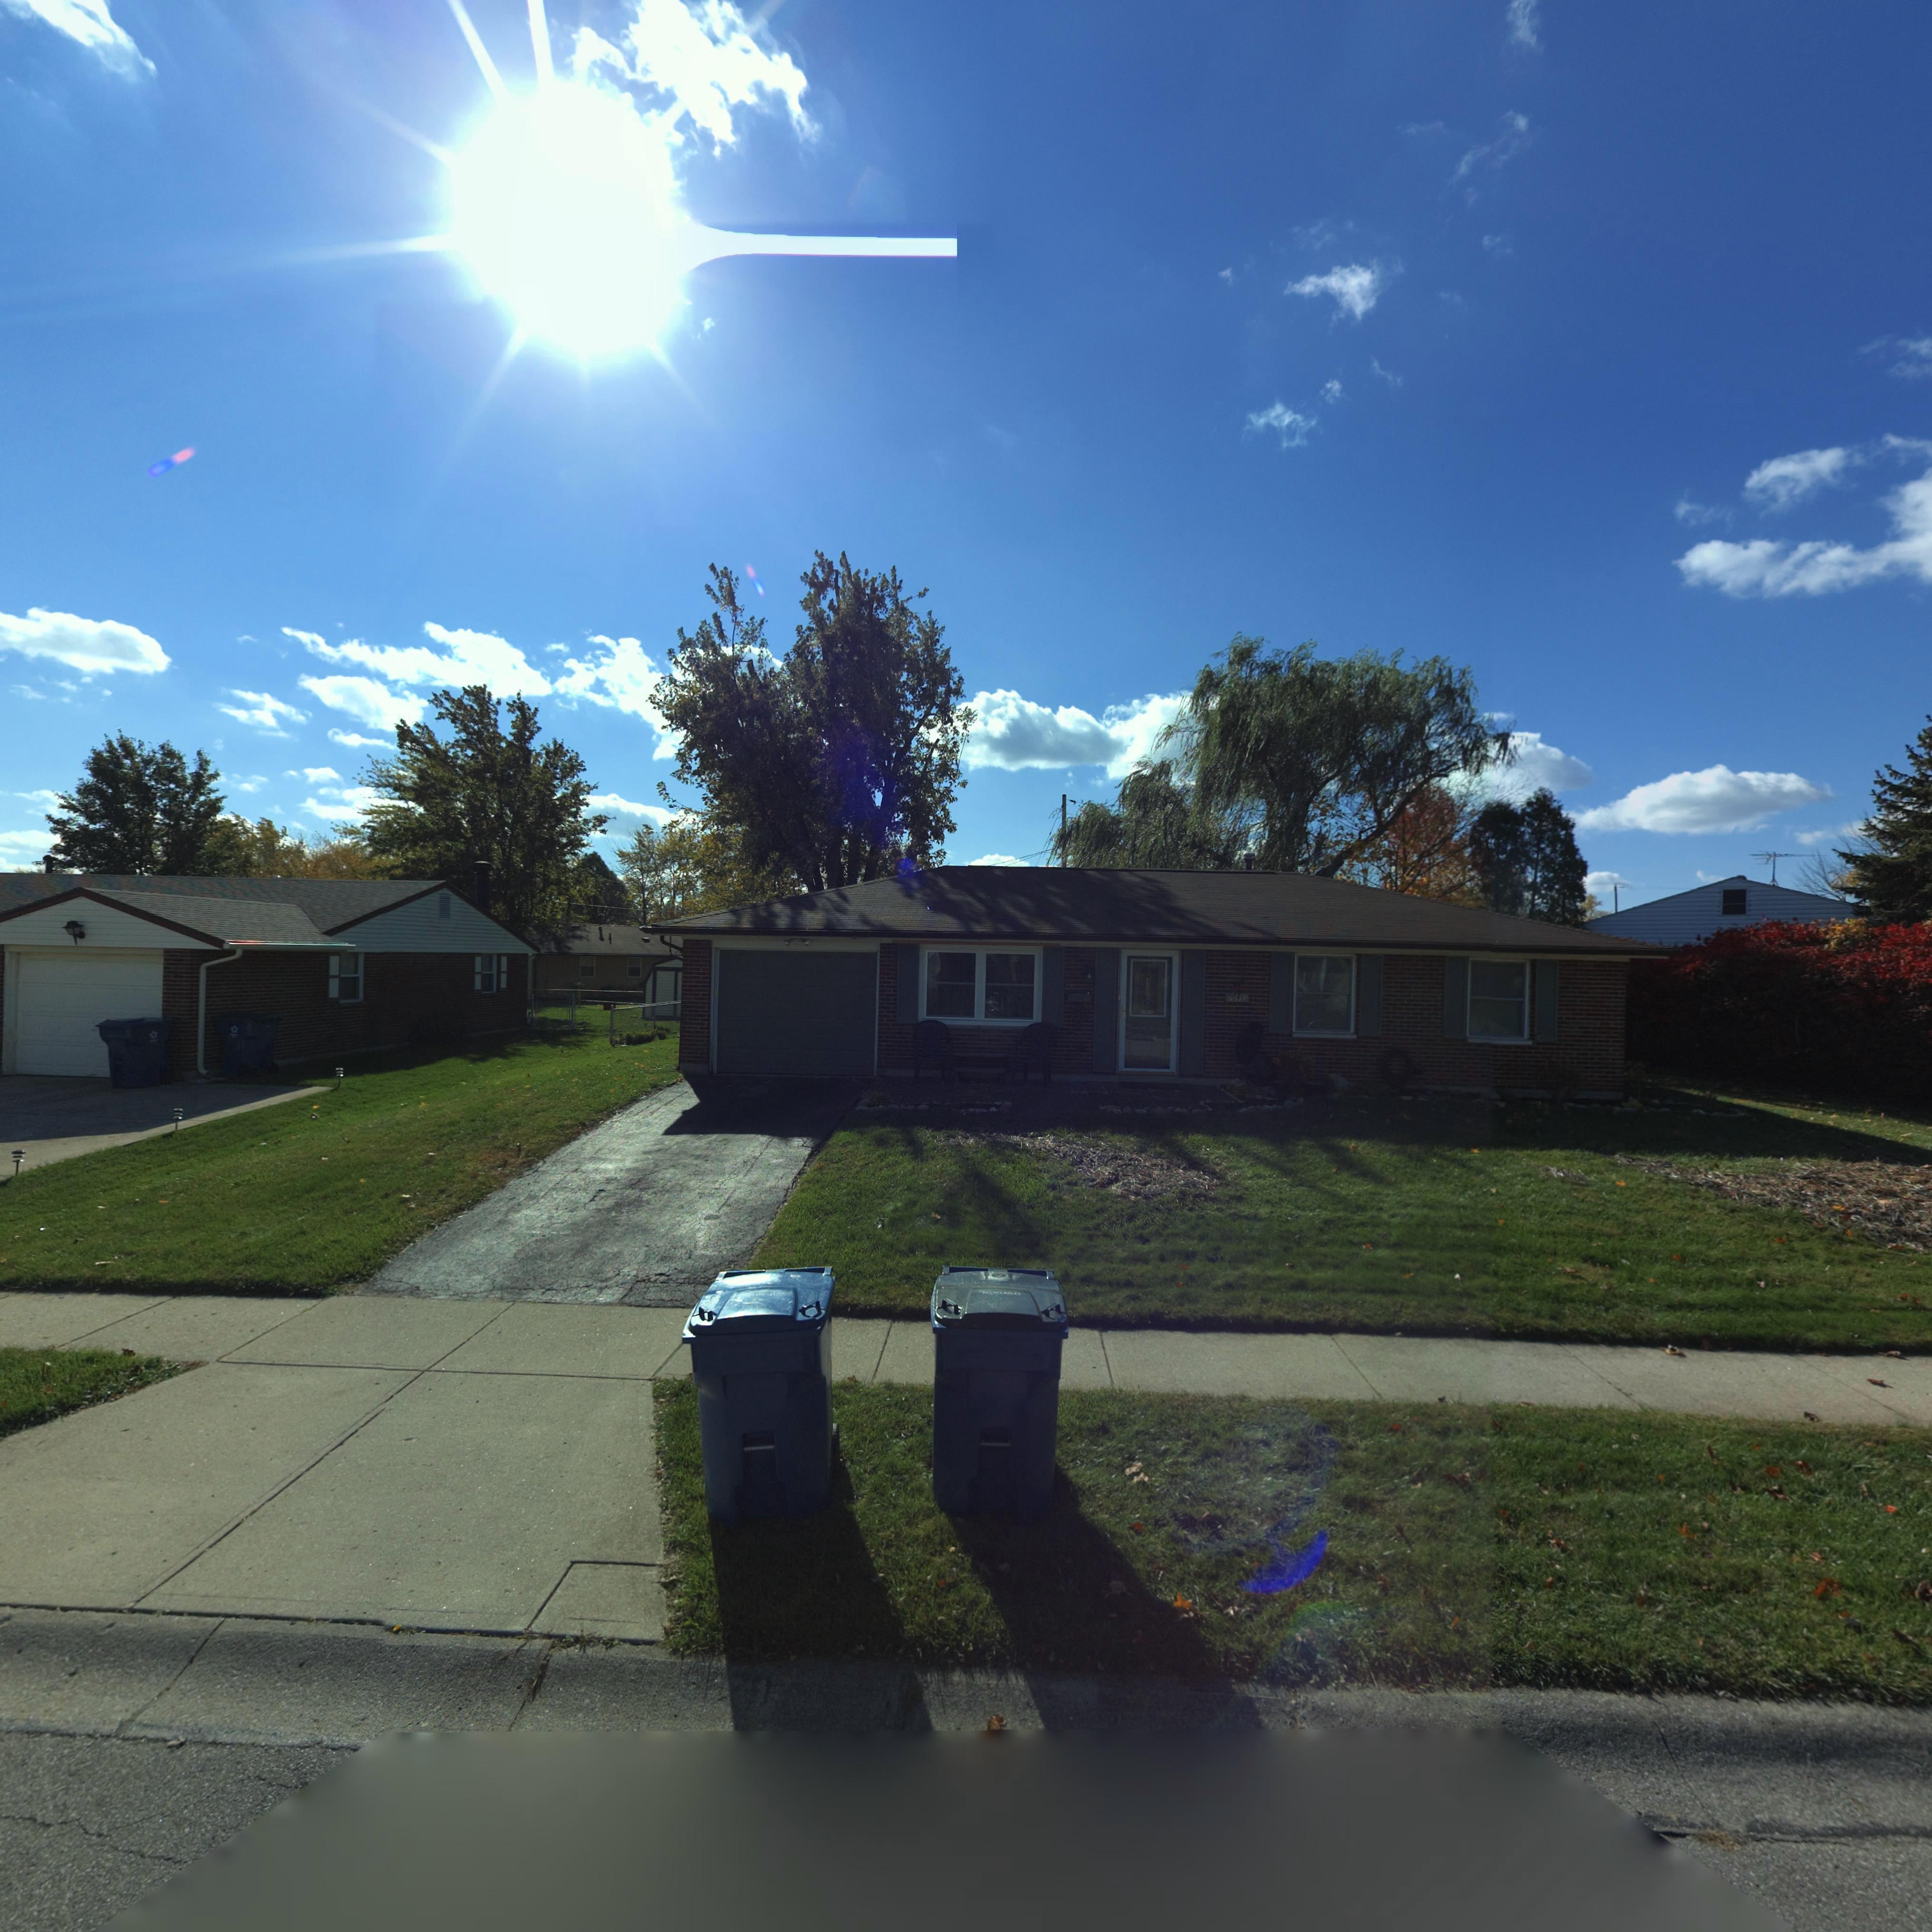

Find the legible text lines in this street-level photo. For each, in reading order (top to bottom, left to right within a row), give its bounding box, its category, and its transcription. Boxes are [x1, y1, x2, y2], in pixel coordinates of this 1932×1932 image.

[1227, 994, 1248, 1002] StreetNumber: 6670